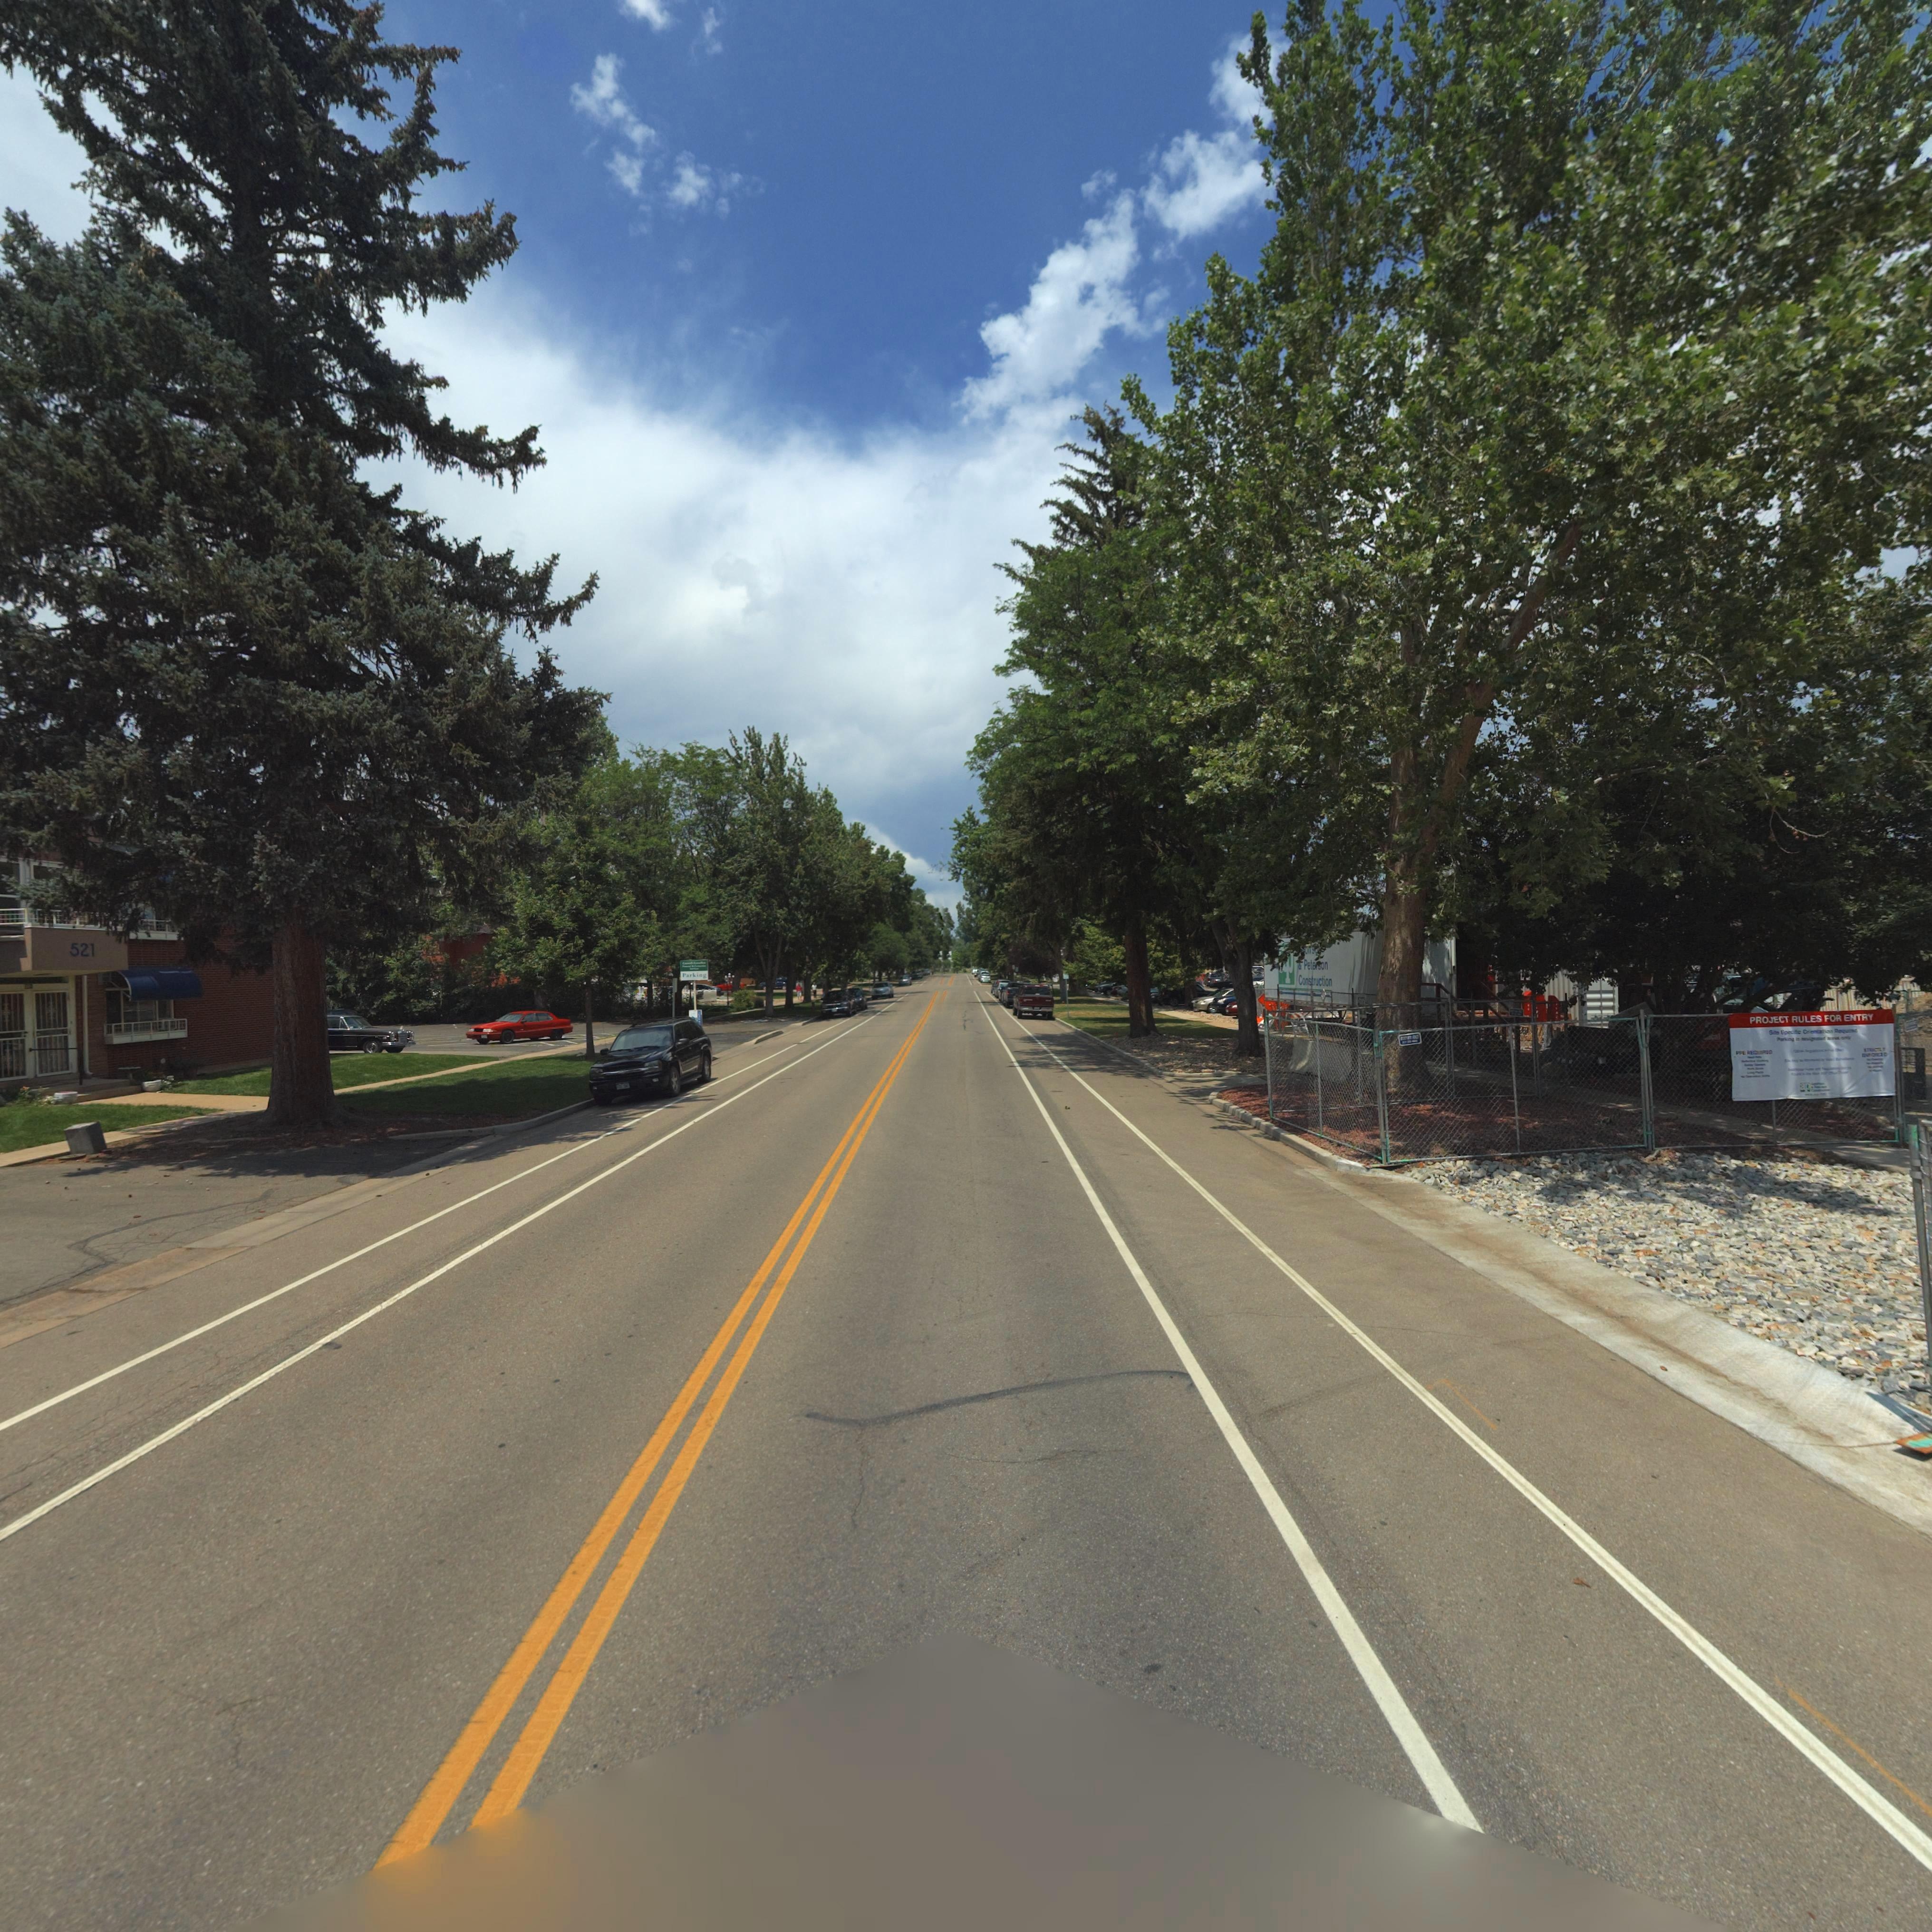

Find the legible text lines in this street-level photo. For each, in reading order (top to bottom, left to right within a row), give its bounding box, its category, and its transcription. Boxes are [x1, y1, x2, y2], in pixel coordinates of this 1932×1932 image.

[69, 941, 95, 957] StreetNumber: 521